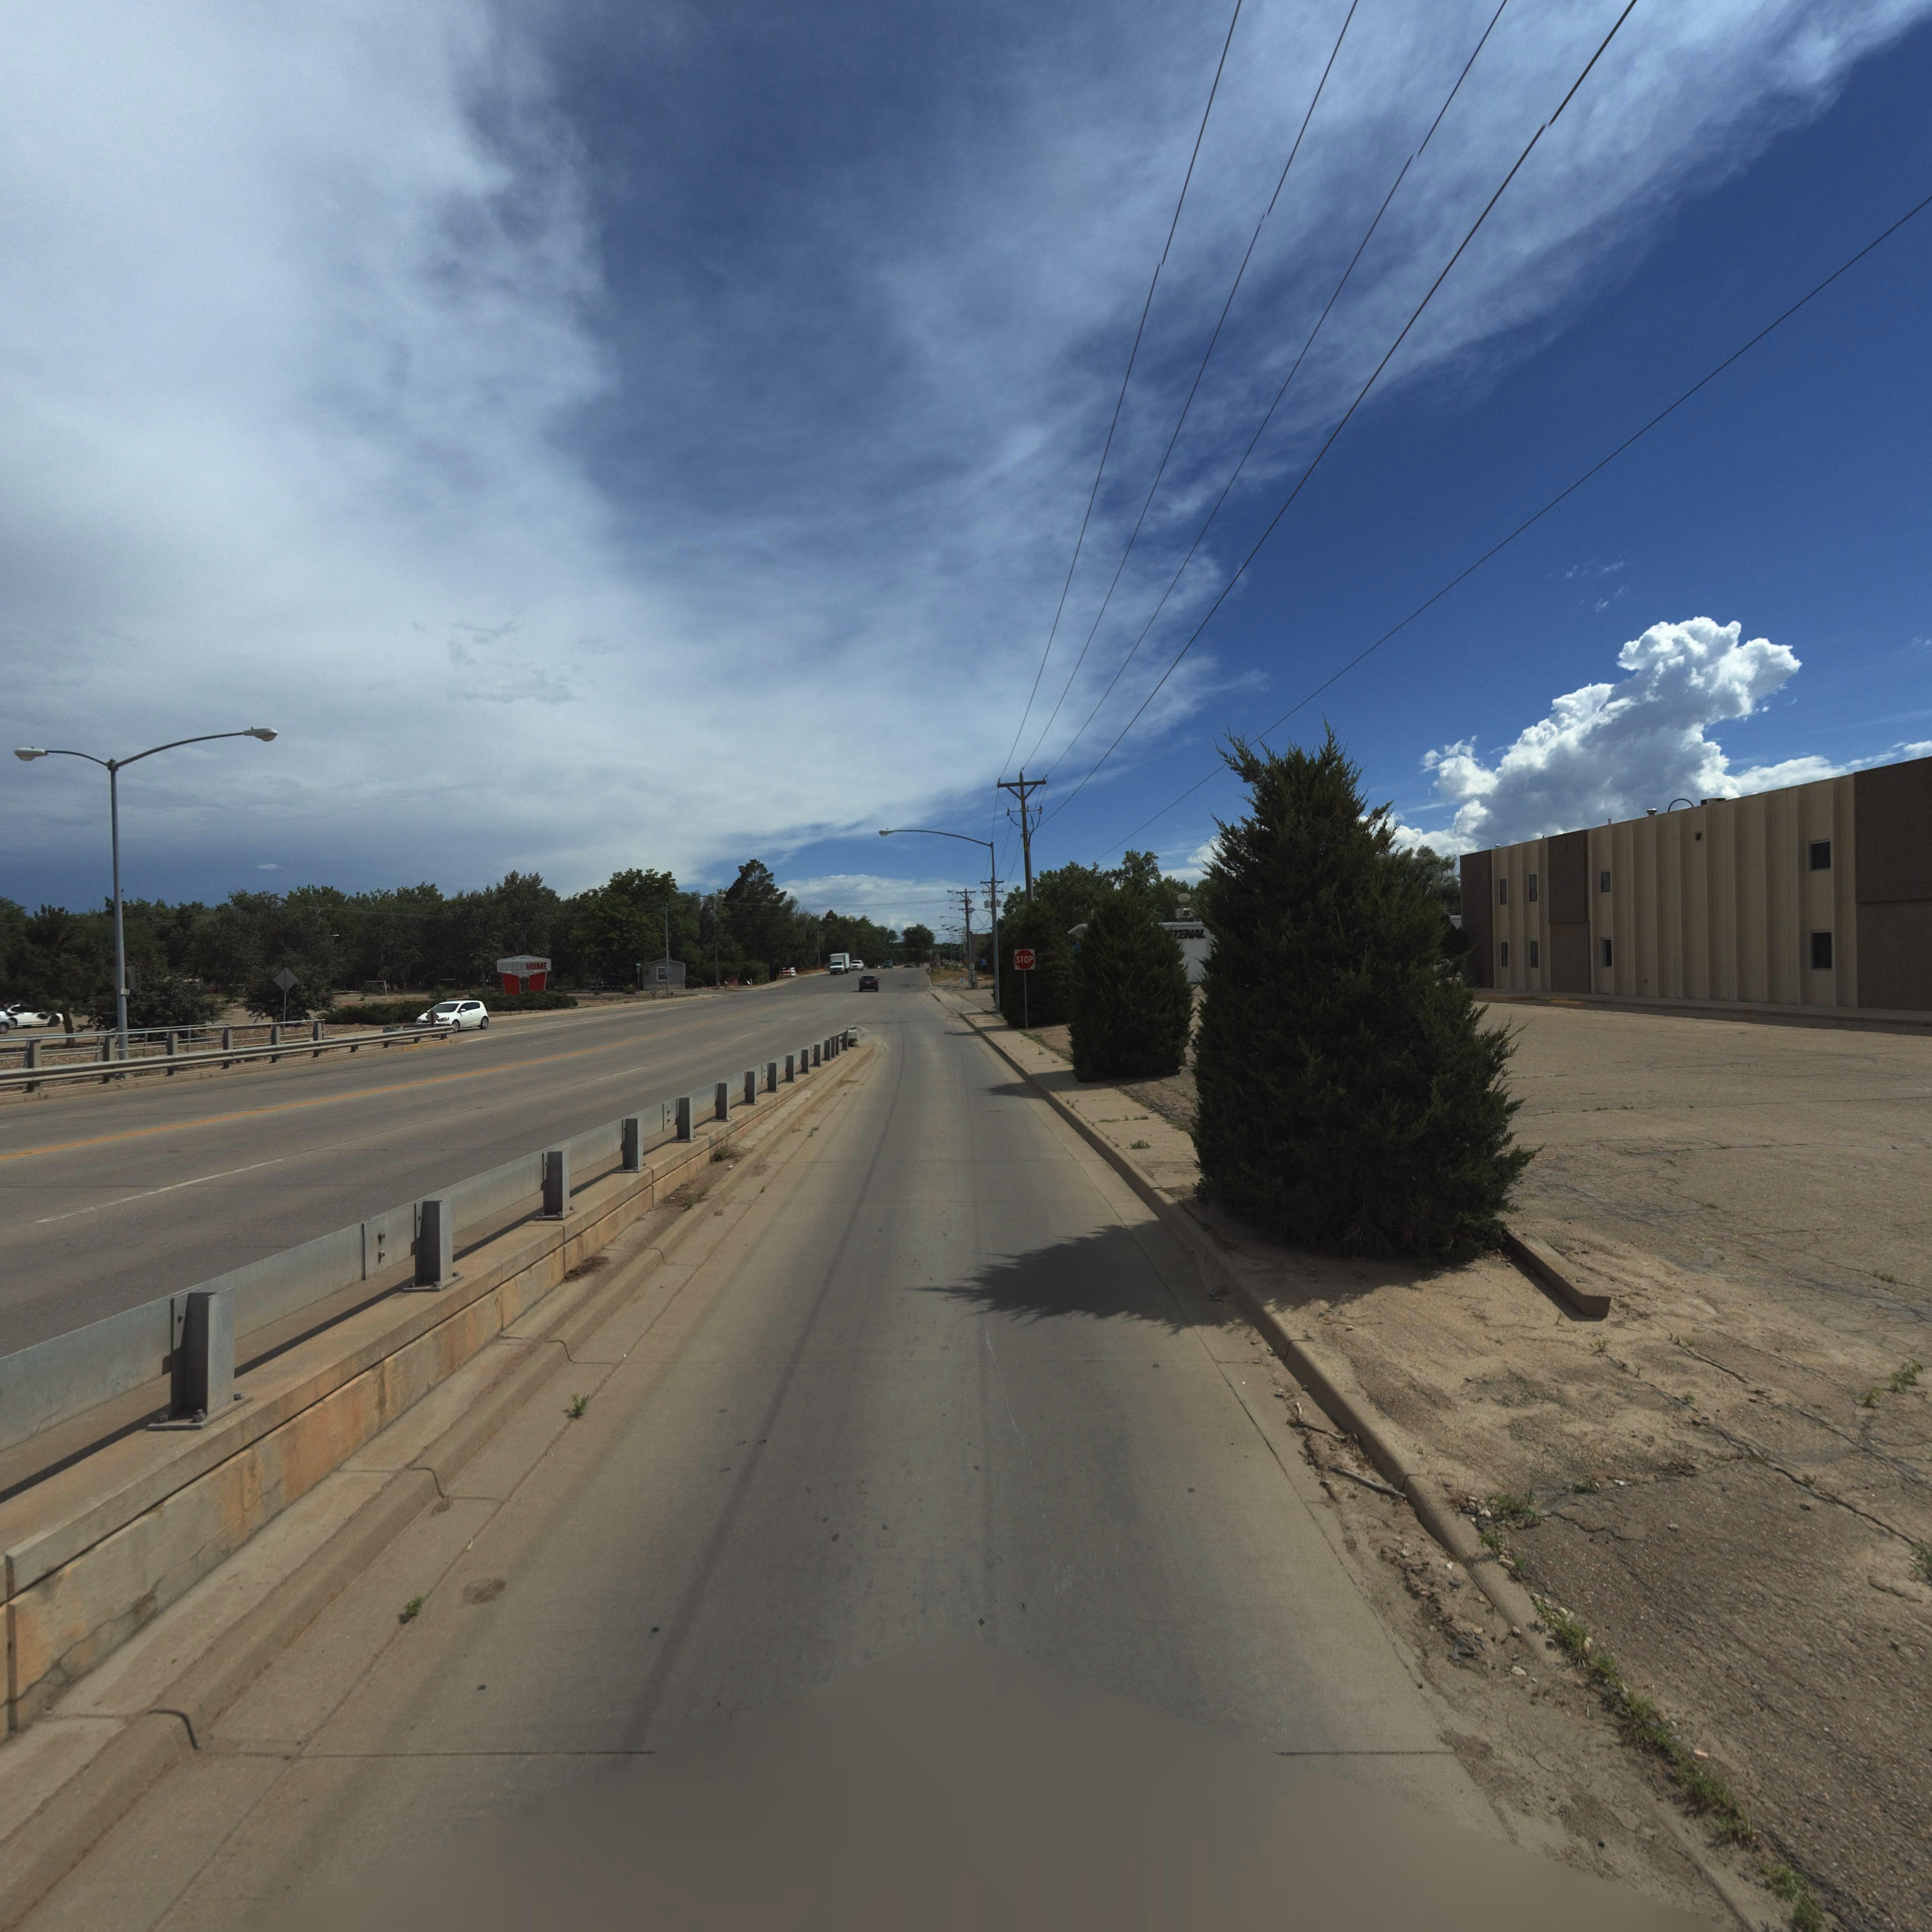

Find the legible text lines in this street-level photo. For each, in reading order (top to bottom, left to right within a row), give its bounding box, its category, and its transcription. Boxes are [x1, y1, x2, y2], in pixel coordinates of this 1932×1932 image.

[1172, 928, 1207, 939] BusinessName: TENAL
[497, 962, 548, 970] BusinessName: BUDGETHOME